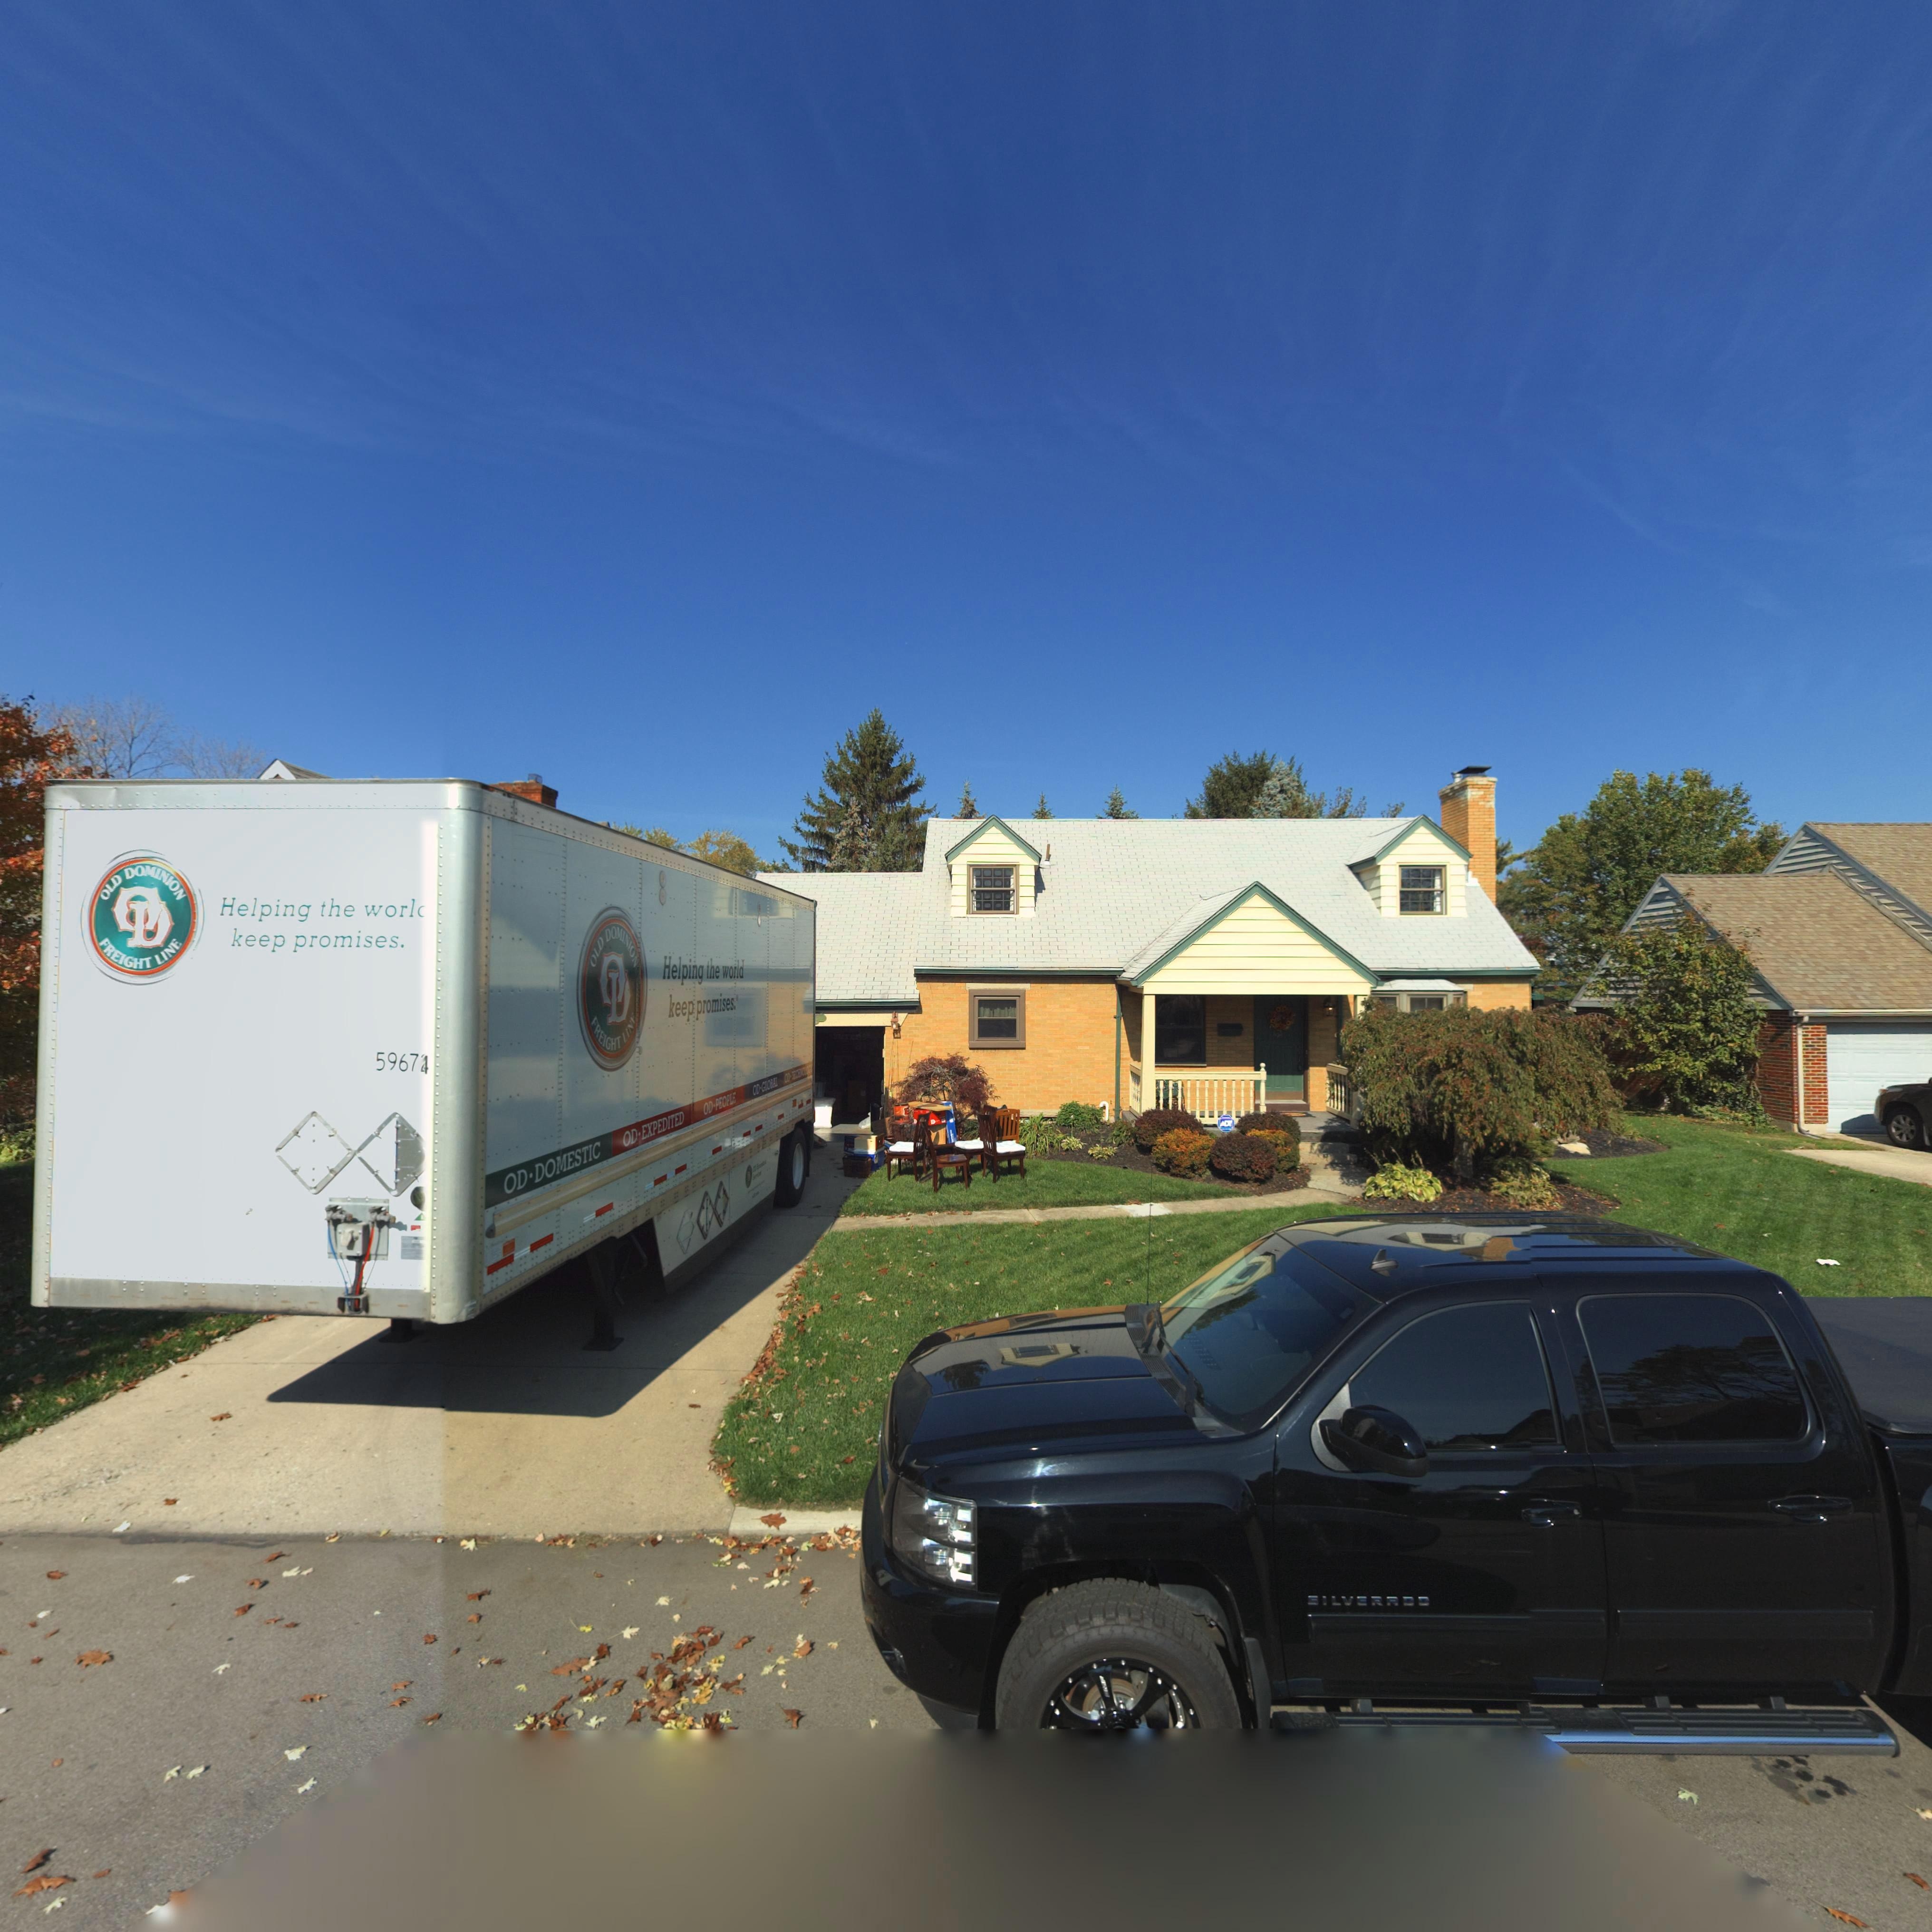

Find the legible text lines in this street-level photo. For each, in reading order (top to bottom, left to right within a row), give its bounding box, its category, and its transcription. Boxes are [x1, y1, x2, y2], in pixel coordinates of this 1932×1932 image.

[100, 865, 187, 901] None: OLD DOMINION
[219, 897, 416, 923] None: Helping the worl
[97, 937, 184, 970] None: FREIGHT LINE
[231, 927, 405, 953] None: keep promises.
[590, 926, 639, 969] None: OLD DOMINION
[662, 955, 744, 986] None: Helping the world
[668, 993, 736, 1023] None: keep promises.
[590, 1015, 635, 1052] None: FREIGHT LIN
[375, 1052, 420, 1072] None: 5967
[752, 1076, 778, 1096] None: OD*GLOBAL
[784, 1072, 791, 1083] None: OD
[703, 1091, 736, 1116] None: OD*PEOPLE
[622, 1111, 685, 1148] None: OD*EXPEDITED
[1219, 1120, 1233, 1127] None: ADT
[503, 1140, 601, 1195] None: OD*DOMESTIC
[1307, 1594, 1430, 1607] None: SILVERADO